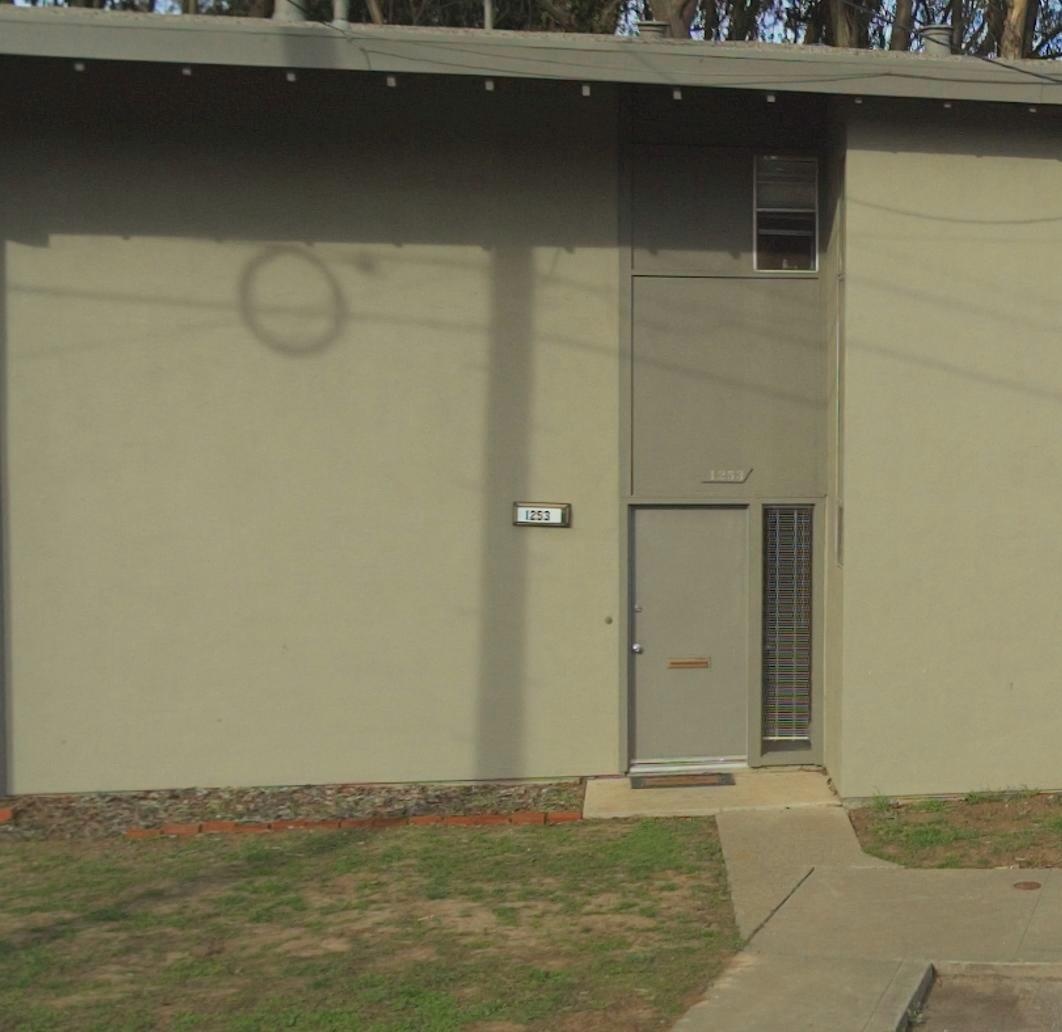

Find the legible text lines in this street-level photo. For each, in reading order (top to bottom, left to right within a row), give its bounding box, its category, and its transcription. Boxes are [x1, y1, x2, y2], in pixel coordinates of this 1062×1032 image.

[708, 468, 743, 482] StreetNumber: 1253
[524, 508, 552, 522] StreetNumber: 1253